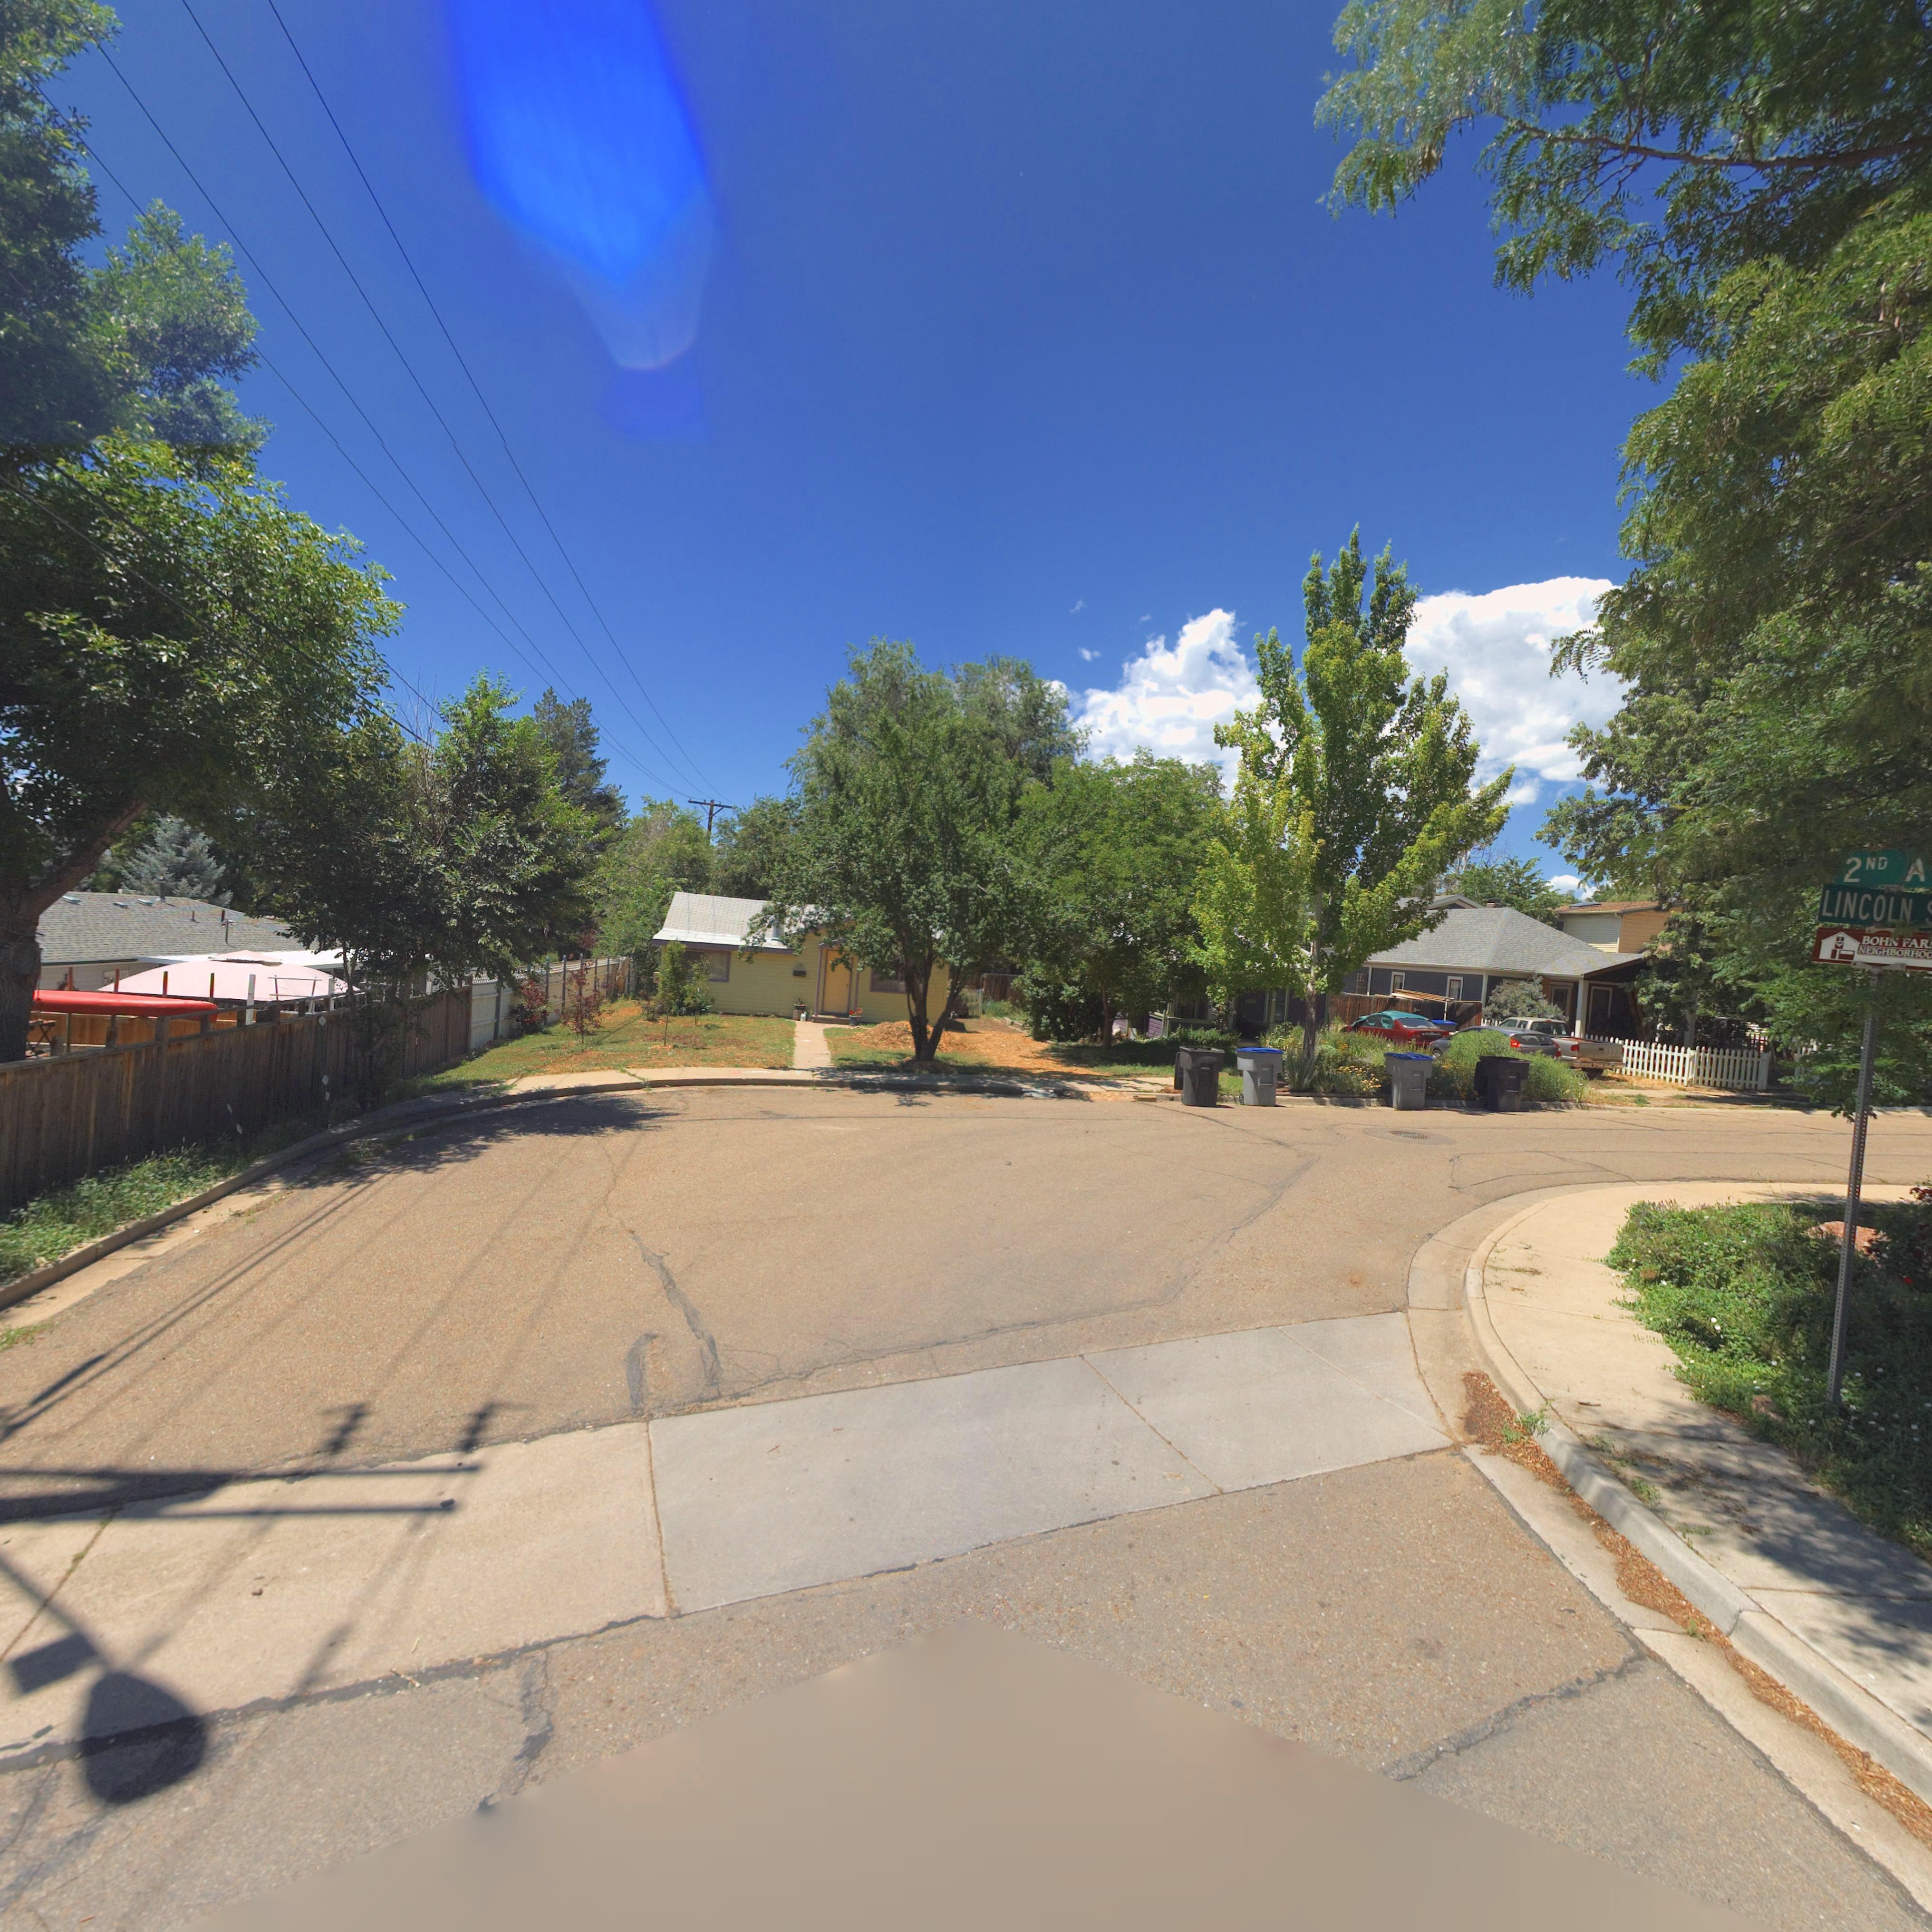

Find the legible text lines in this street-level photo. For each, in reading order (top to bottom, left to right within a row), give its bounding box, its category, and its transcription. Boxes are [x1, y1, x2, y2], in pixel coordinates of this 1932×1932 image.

[1842, 857, 1926, 882] StreetName: 2ND A
[1821, 889, 1922, 925] StreetName: LINCOLN
[795, 962, 804, 968] StreetNumber: 141